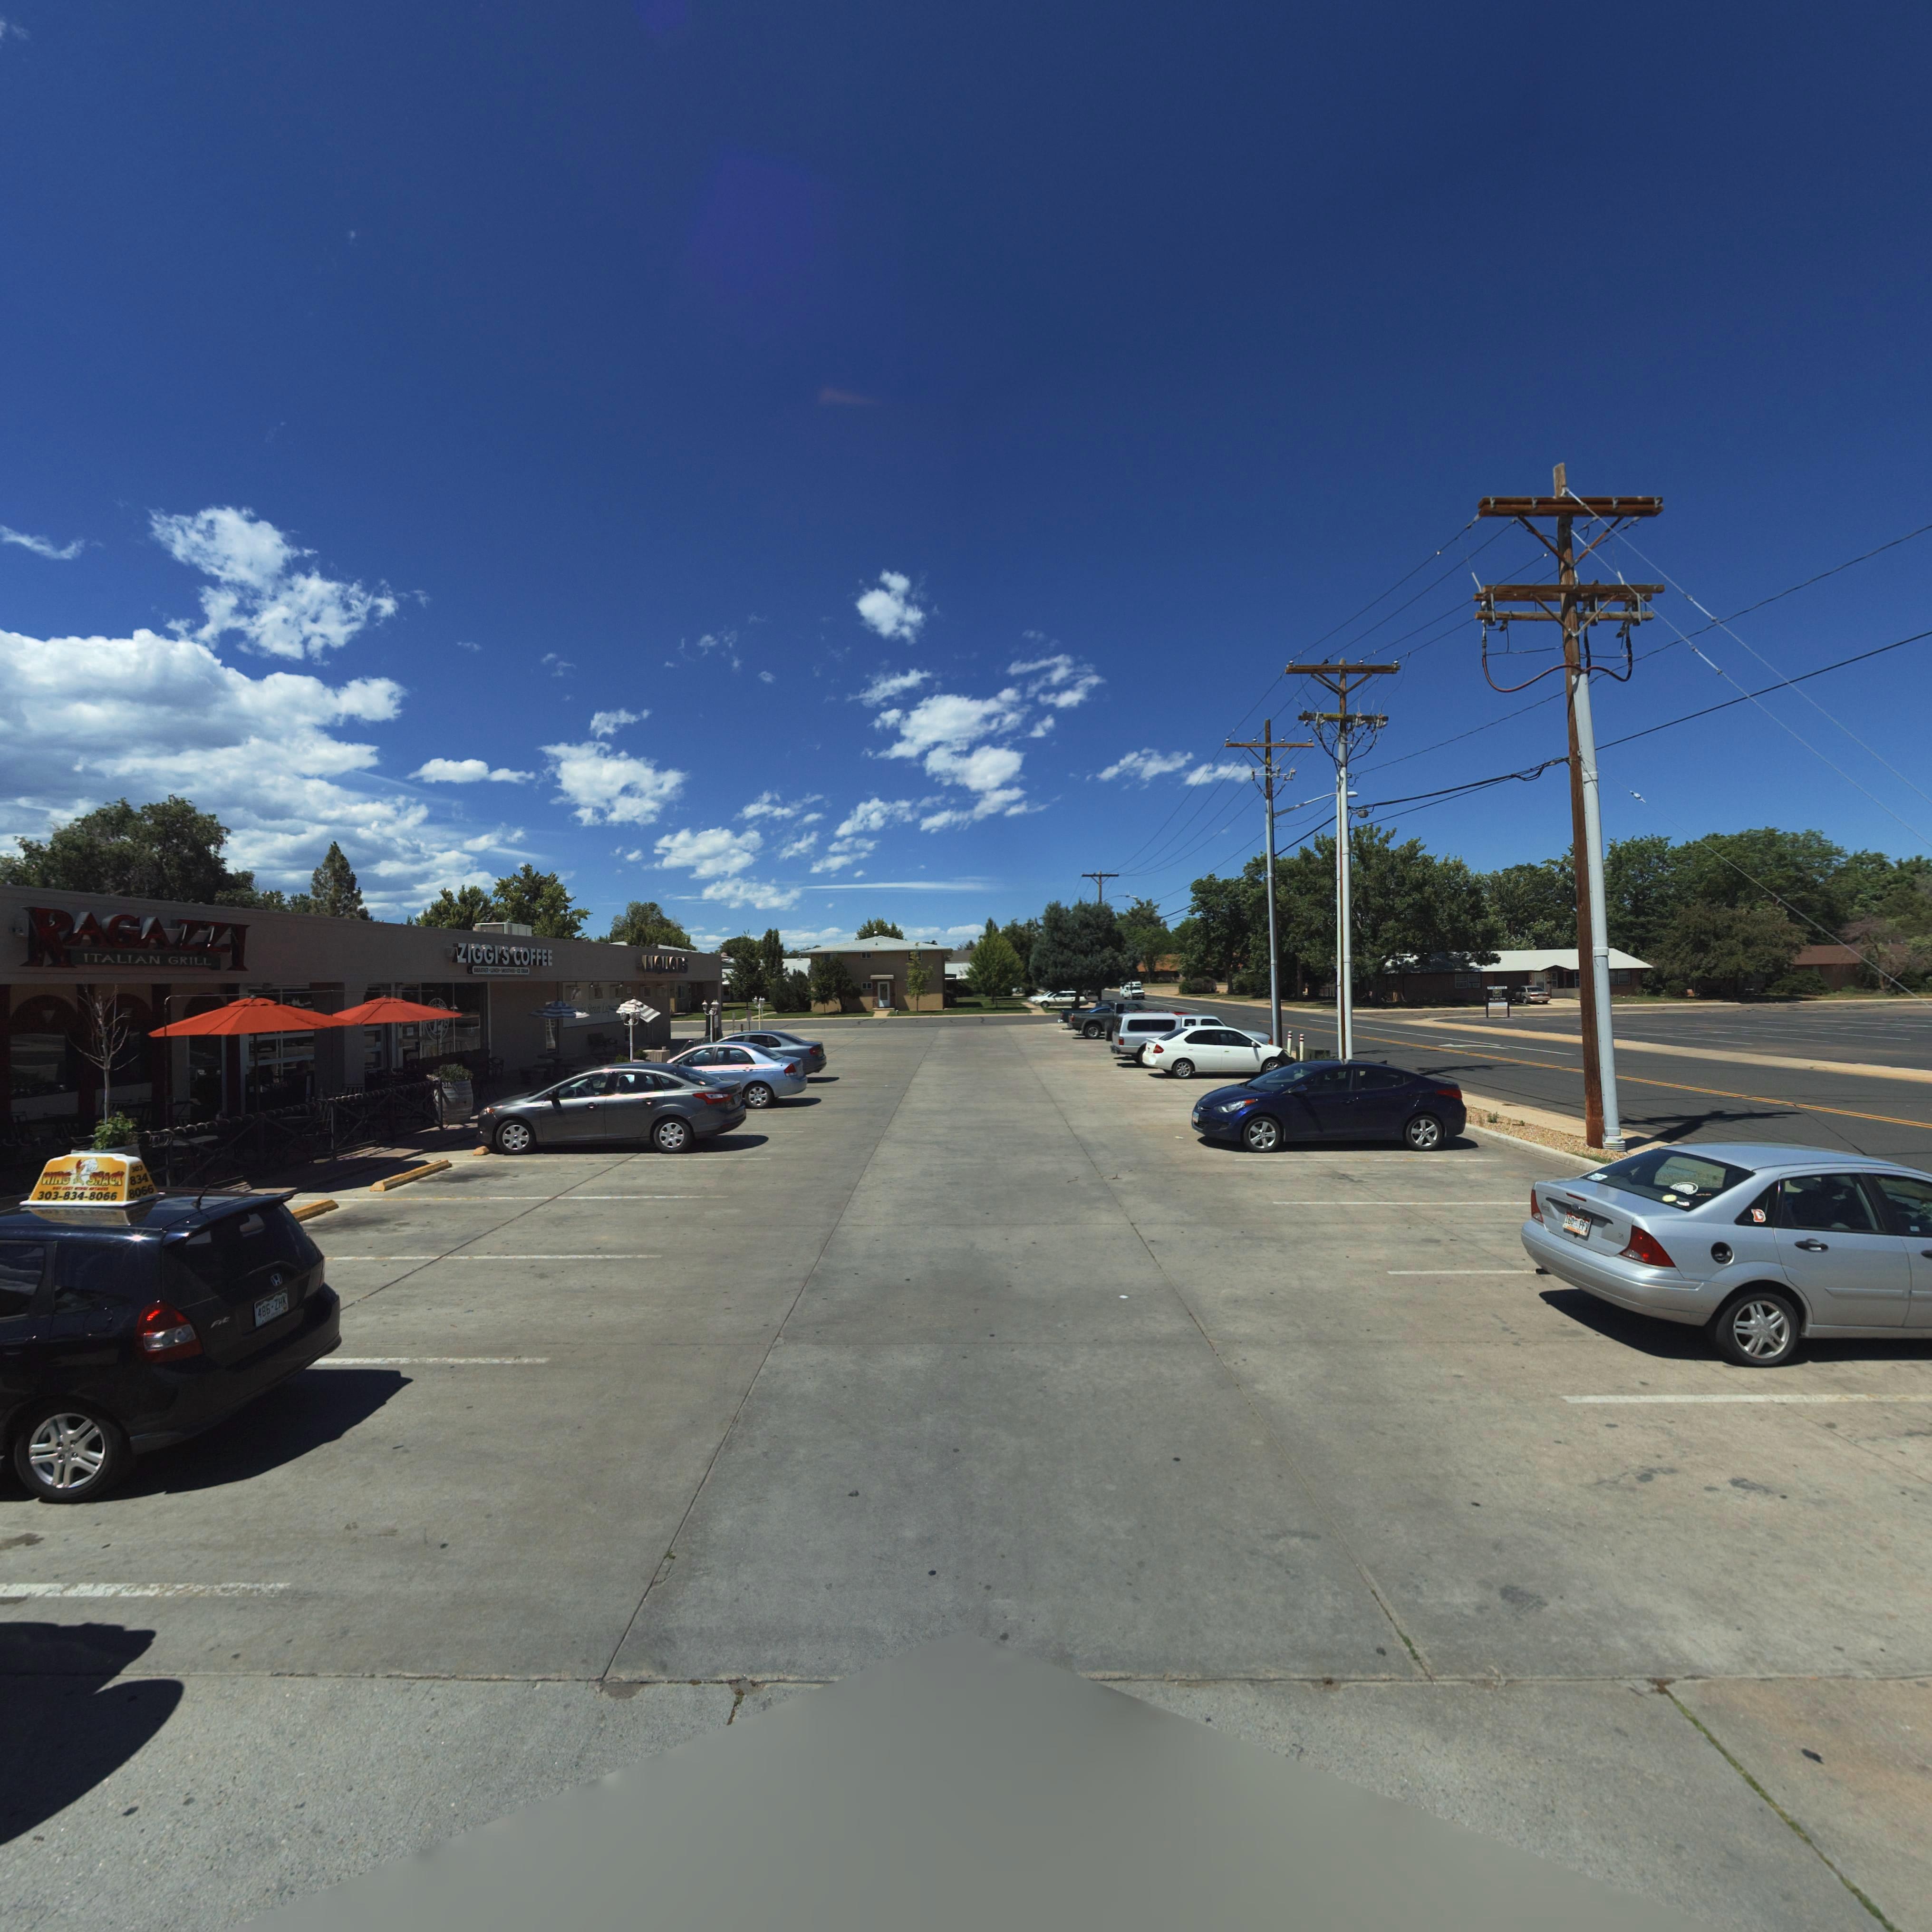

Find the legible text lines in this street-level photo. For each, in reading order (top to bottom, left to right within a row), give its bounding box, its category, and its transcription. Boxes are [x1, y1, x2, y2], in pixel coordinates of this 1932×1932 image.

[19, 906, 251, 972] BusinessName: RAGAZZI
[83, 952, 212, 966] BusinessName: ITALIAN GRILL
[455, 942, 552, 967] BusinessName: ZIGGI*S
[644, 954, 688, 975] BusinessName: LIQUORS
[575, 1002, 619, 1017] BusinessName: *is Streel Li*